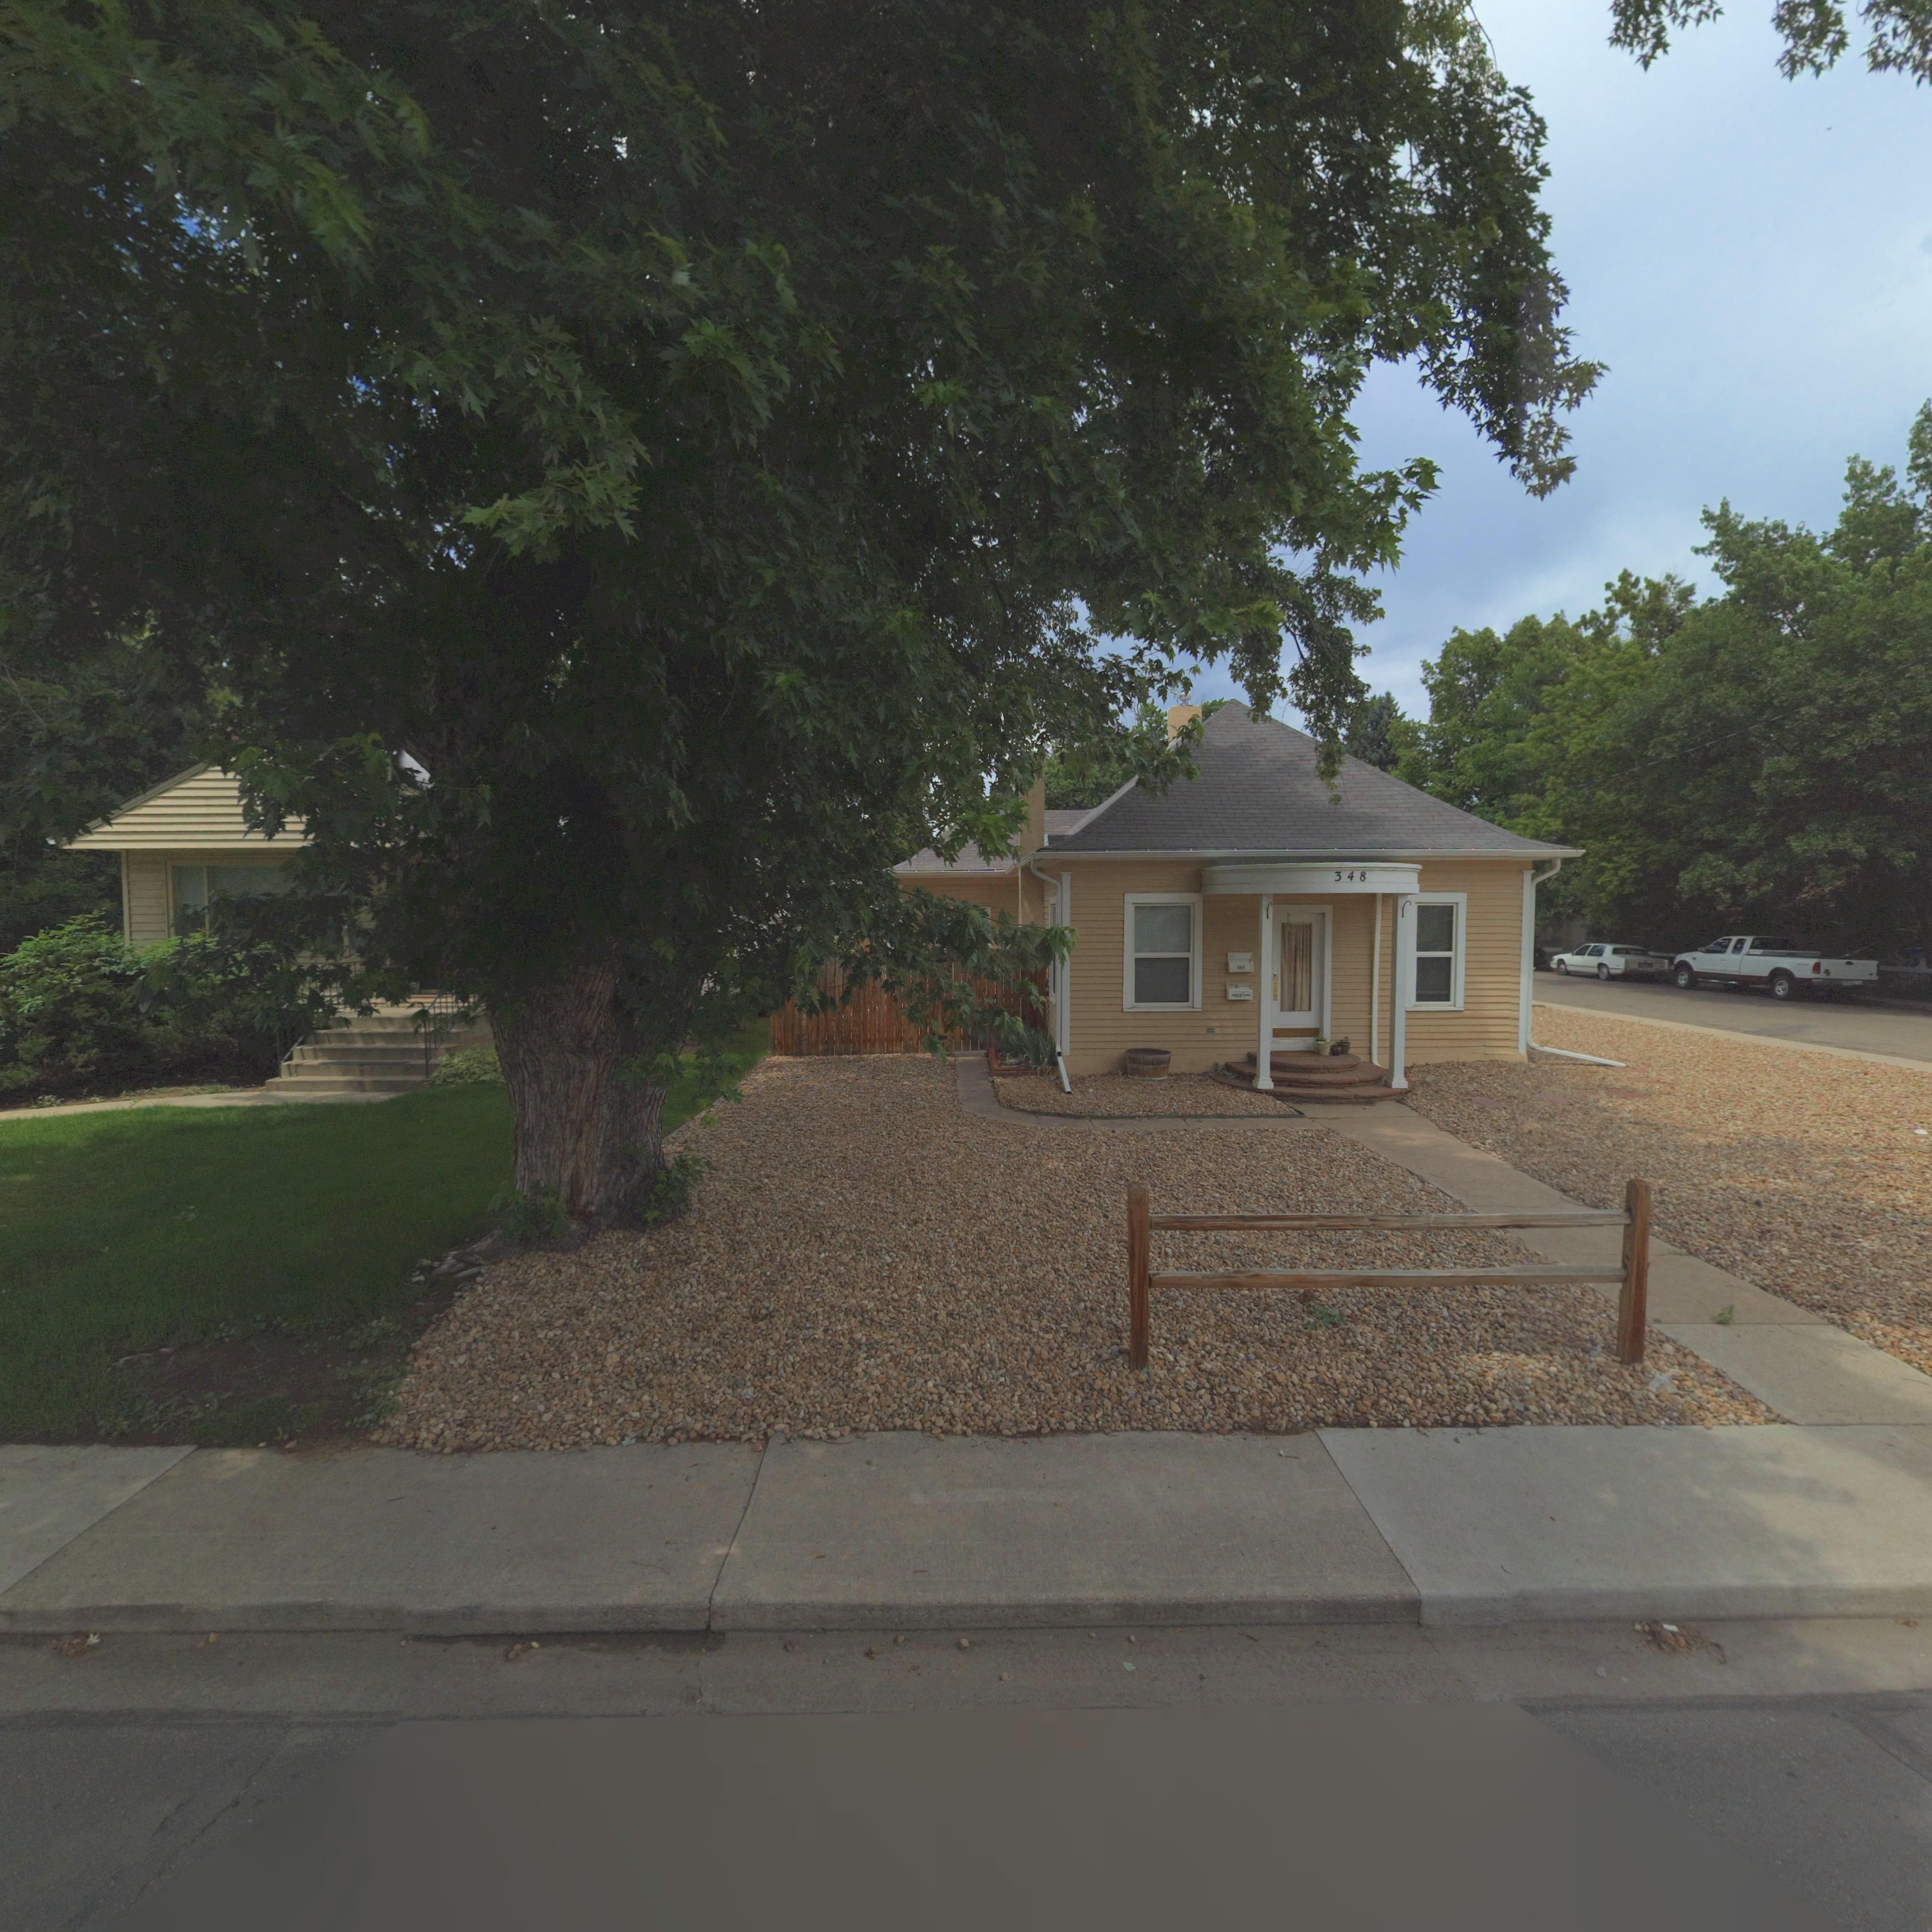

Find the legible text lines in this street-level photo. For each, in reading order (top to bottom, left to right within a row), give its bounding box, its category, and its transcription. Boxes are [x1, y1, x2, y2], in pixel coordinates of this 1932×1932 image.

[1334, 870, 1366, 882] StreetNumber: 348
[1236, 965, 1245, 969] StreetNumber: 34*
[1234, 993, 1242, 997] StreetNumber: *43